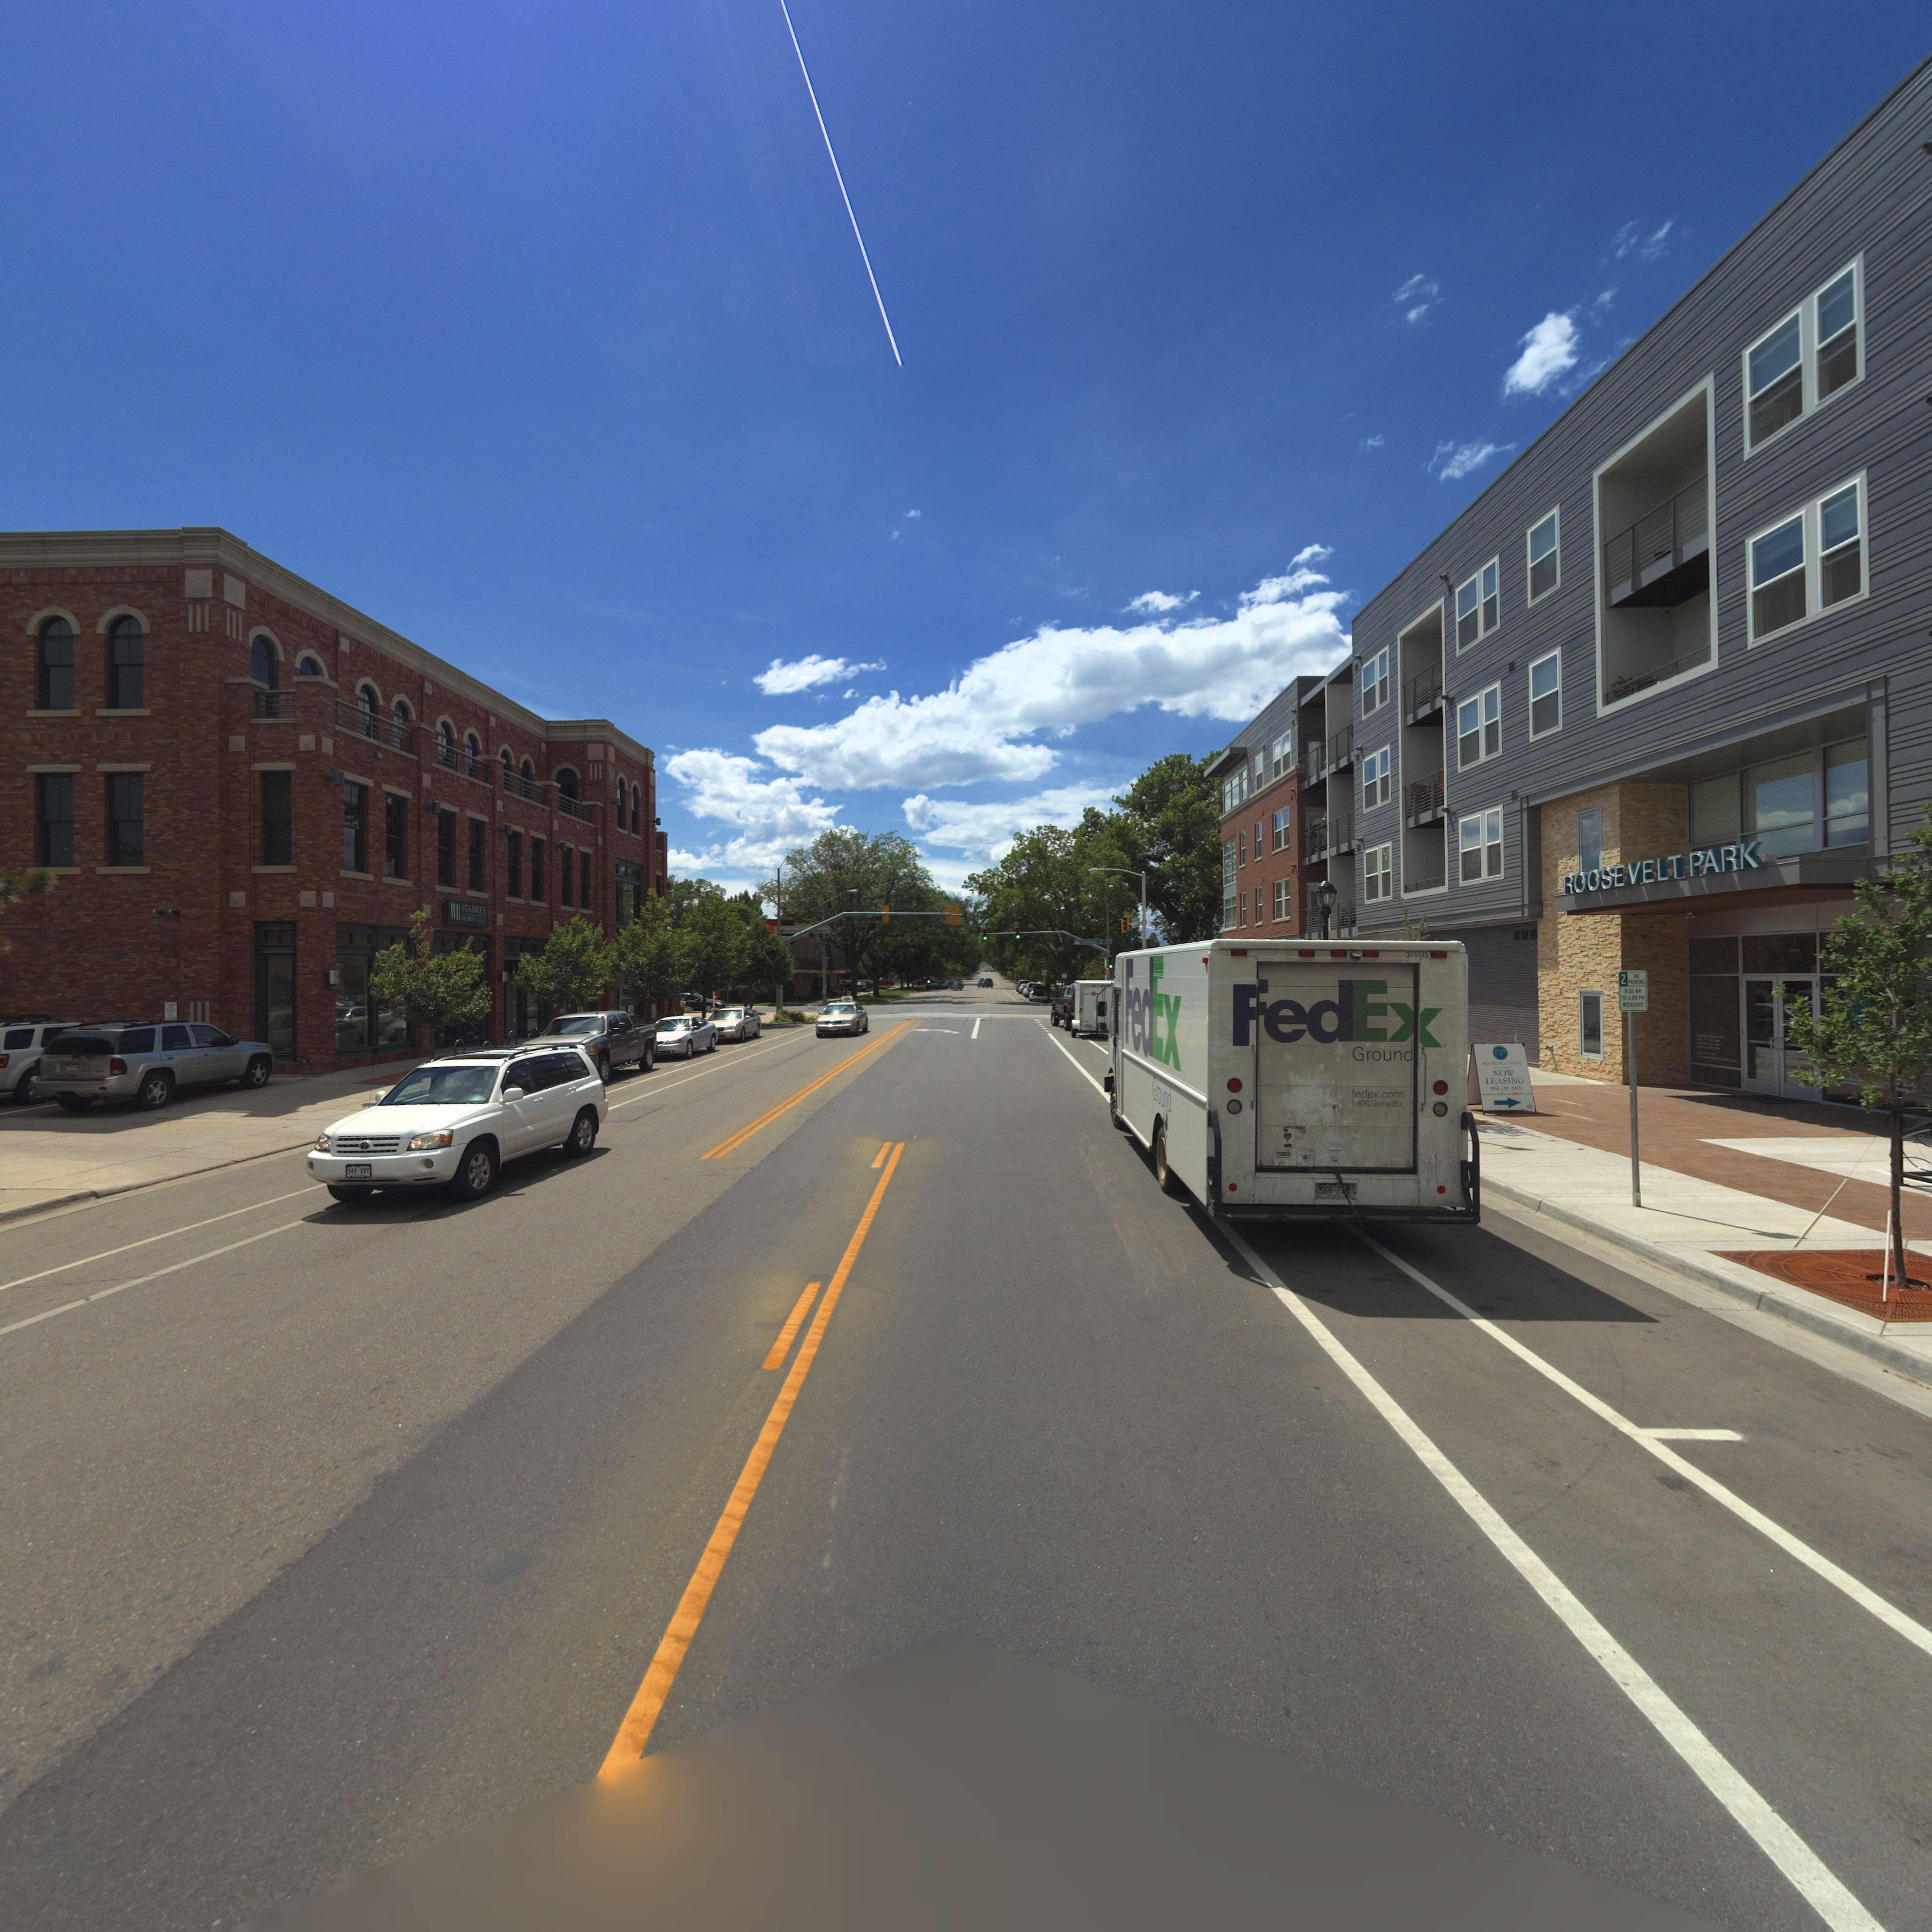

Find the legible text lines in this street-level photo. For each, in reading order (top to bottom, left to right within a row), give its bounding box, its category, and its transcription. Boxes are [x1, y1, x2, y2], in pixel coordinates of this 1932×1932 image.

[1564, 840, 1761, 894] BusinessName: ROOSEVELT PARK
[460, 903, 487, 915] BusinessName: STARKEY
[461, 914, 487, 925] BusinessName: MOR*GAGE
[1081, 939, 1103, 944] StreetName: Coffm*n St
[1481, 1060, 1522, 1066] BusinessName: ROO****** ***K